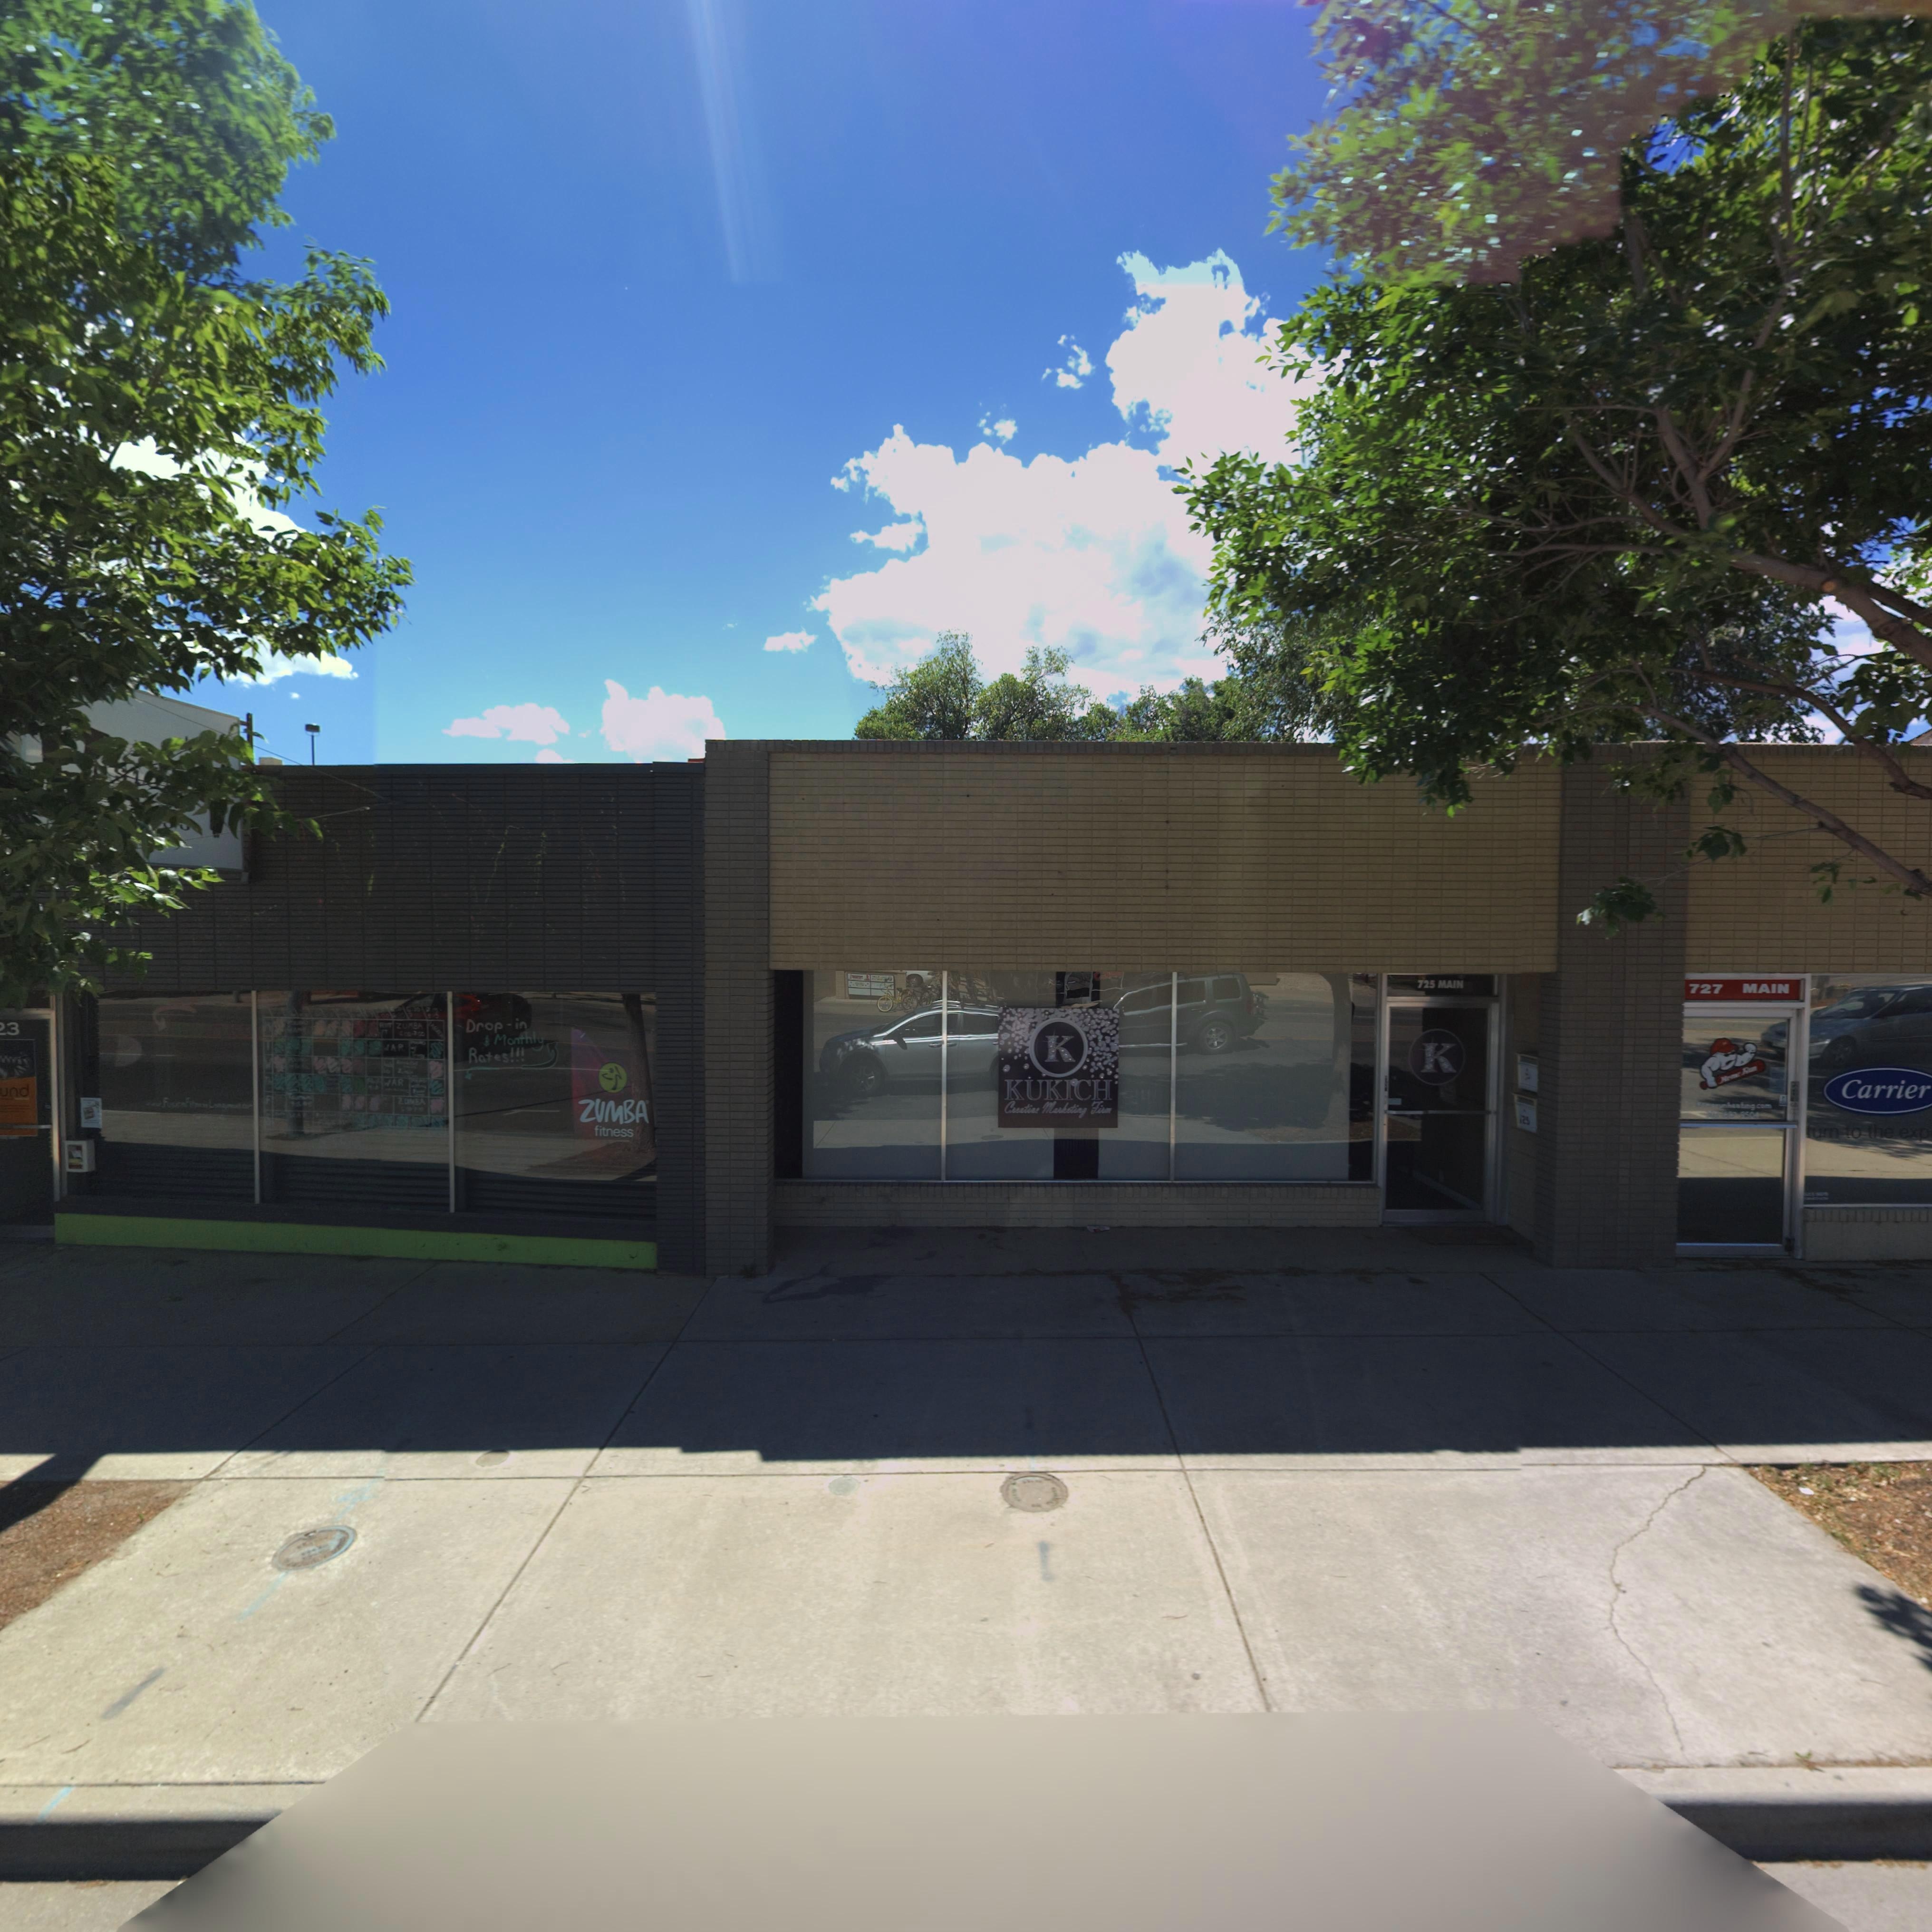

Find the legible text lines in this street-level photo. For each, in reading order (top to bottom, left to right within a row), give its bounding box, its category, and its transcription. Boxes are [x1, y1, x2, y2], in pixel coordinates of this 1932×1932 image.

[1417, 979, 1435, 988] StreetNumber: 725
[1437, 979, 1464, 989] StreetName: MAIN
[1688, 983, 1723, 994] StreetNumber: 727
[1742, 983, 1789, 994] StreetName: MAIN
[6, 1021, 19, 1036] StreetNumber: 3
[1719, 1065, 1757, 1084] BusinessName: Hom* R**
[1004, 1079, 1112, 1101] BusinessName: KUKICH
[1003, 1100, 1112, 1119] BusinessName: Cre*ti*e Marketing Firm
[1518, 1114, 1530, 1125] StreetNumber: *25